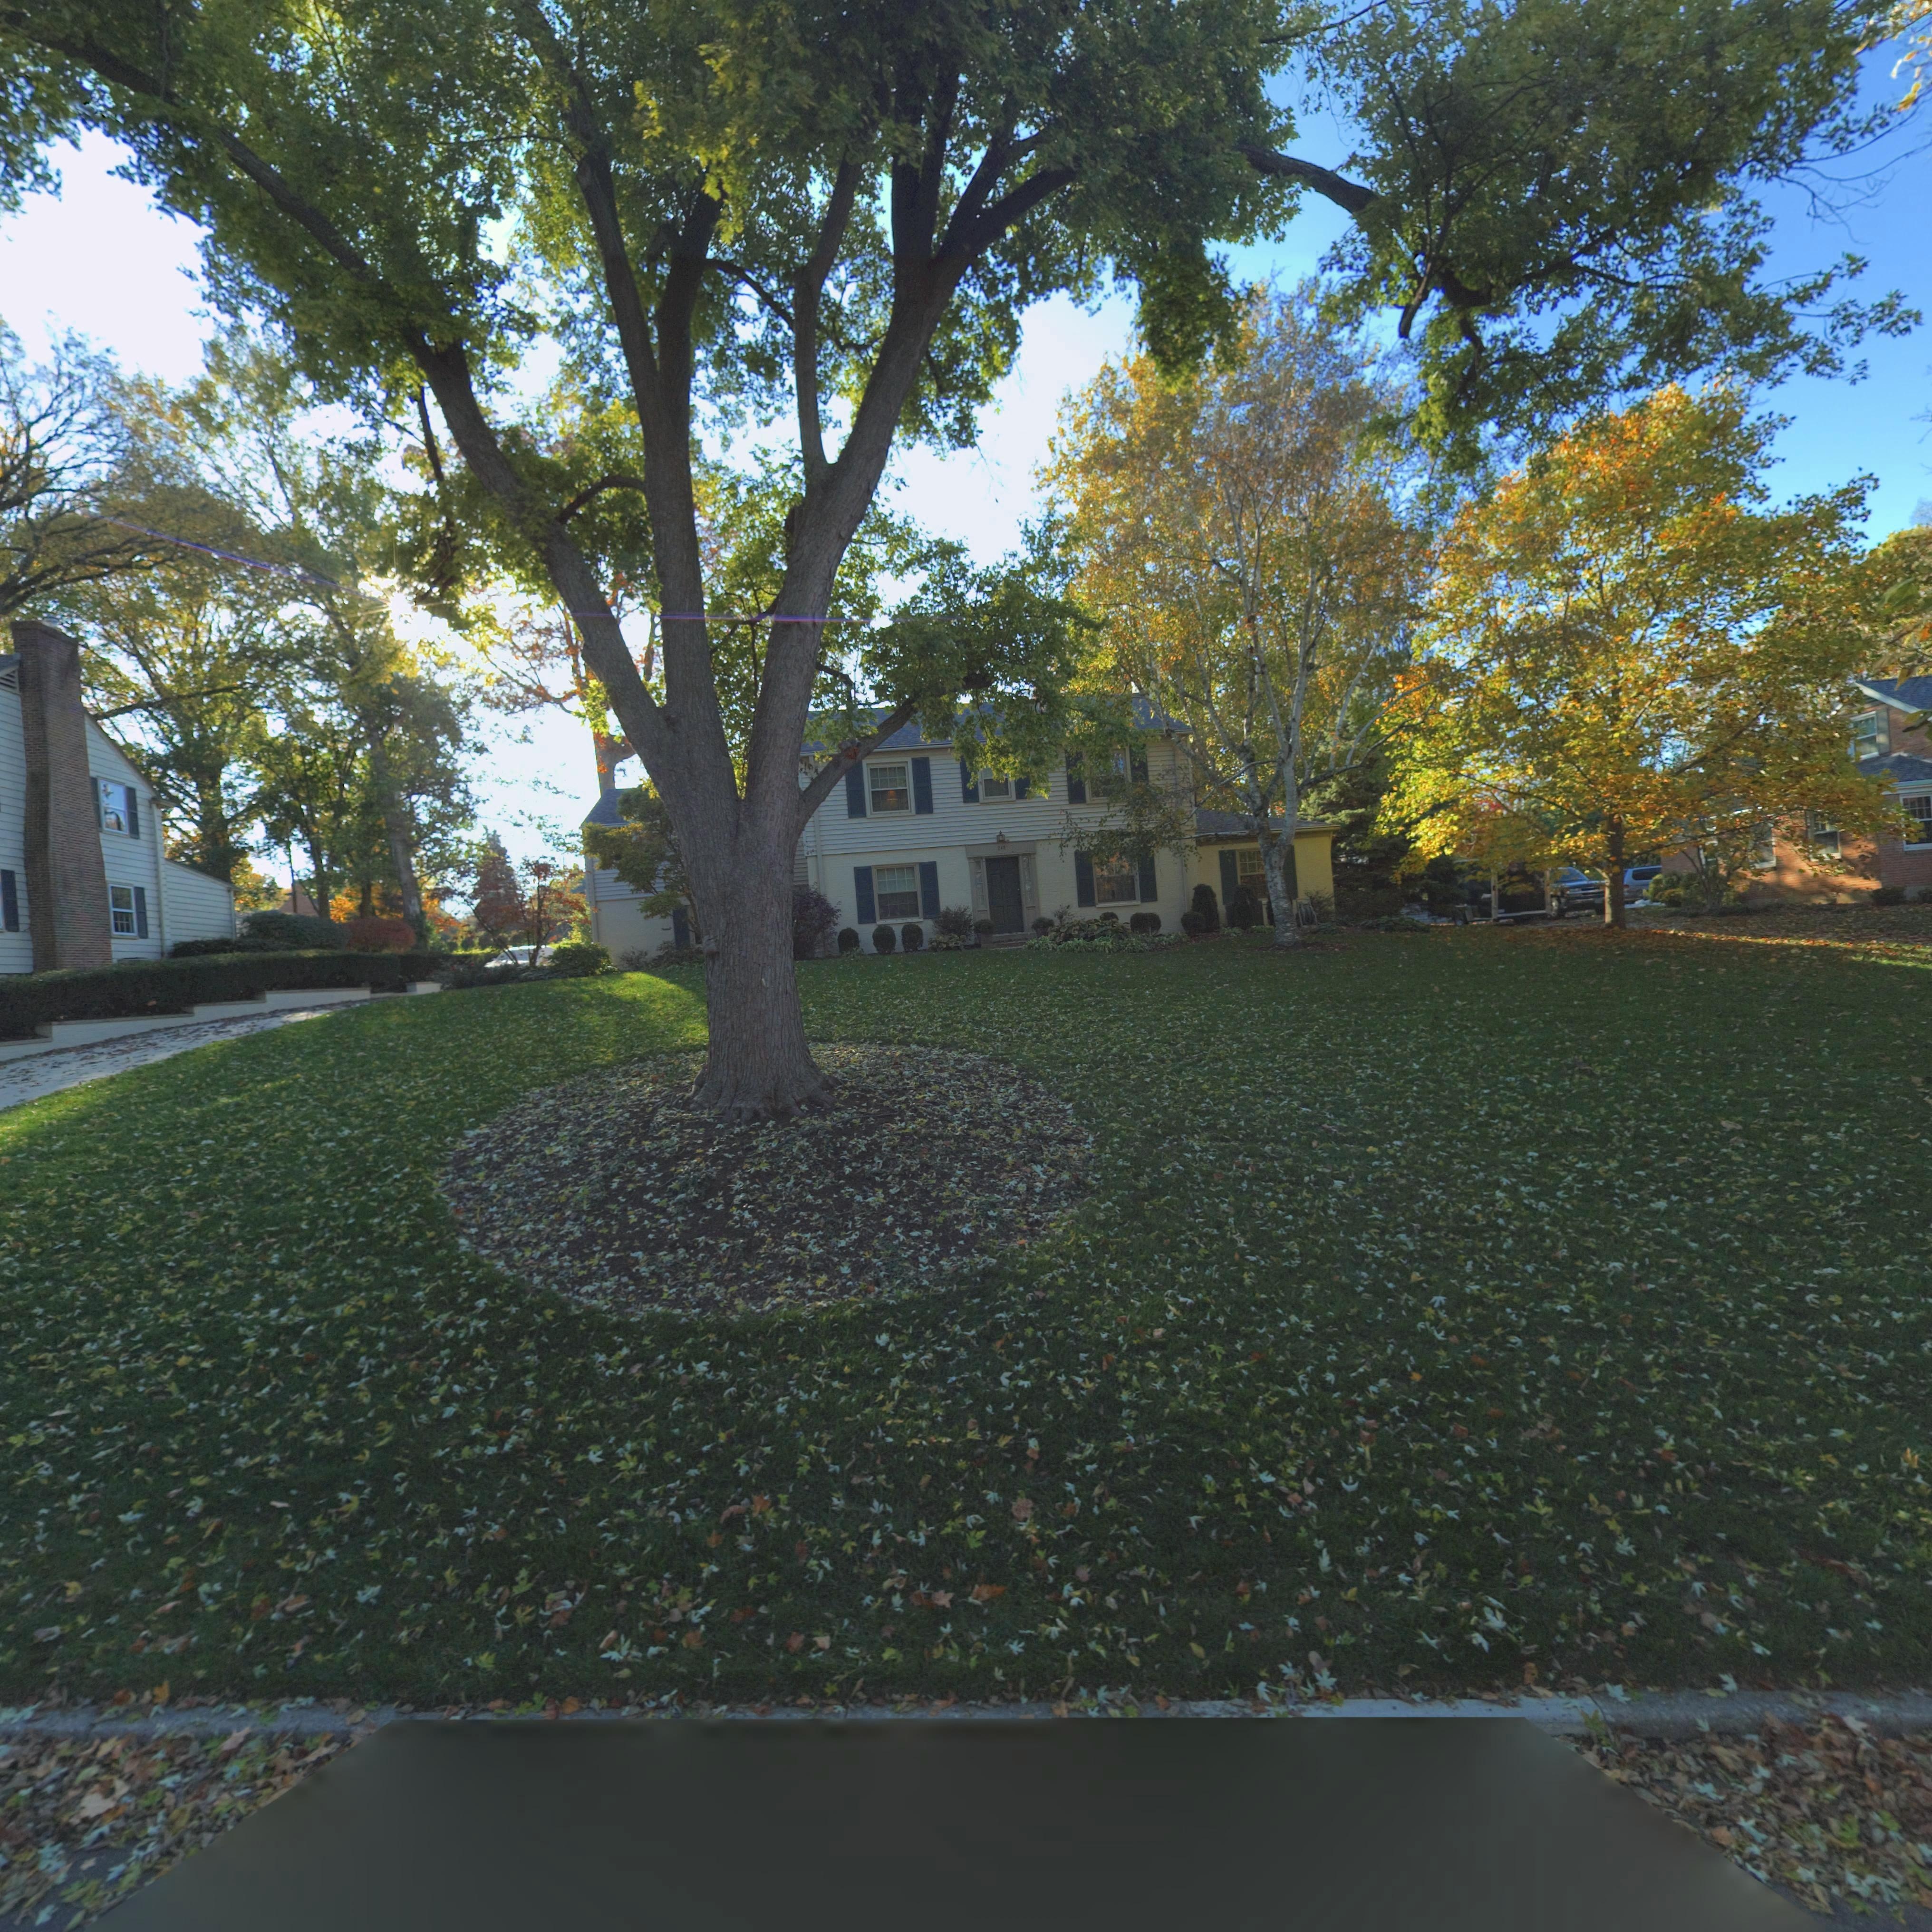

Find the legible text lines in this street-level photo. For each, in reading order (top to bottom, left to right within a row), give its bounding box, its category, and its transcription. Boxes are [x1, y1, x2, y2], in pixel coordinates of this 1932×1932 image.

[997, 844, 1007, 851] StreetNumber: 24*